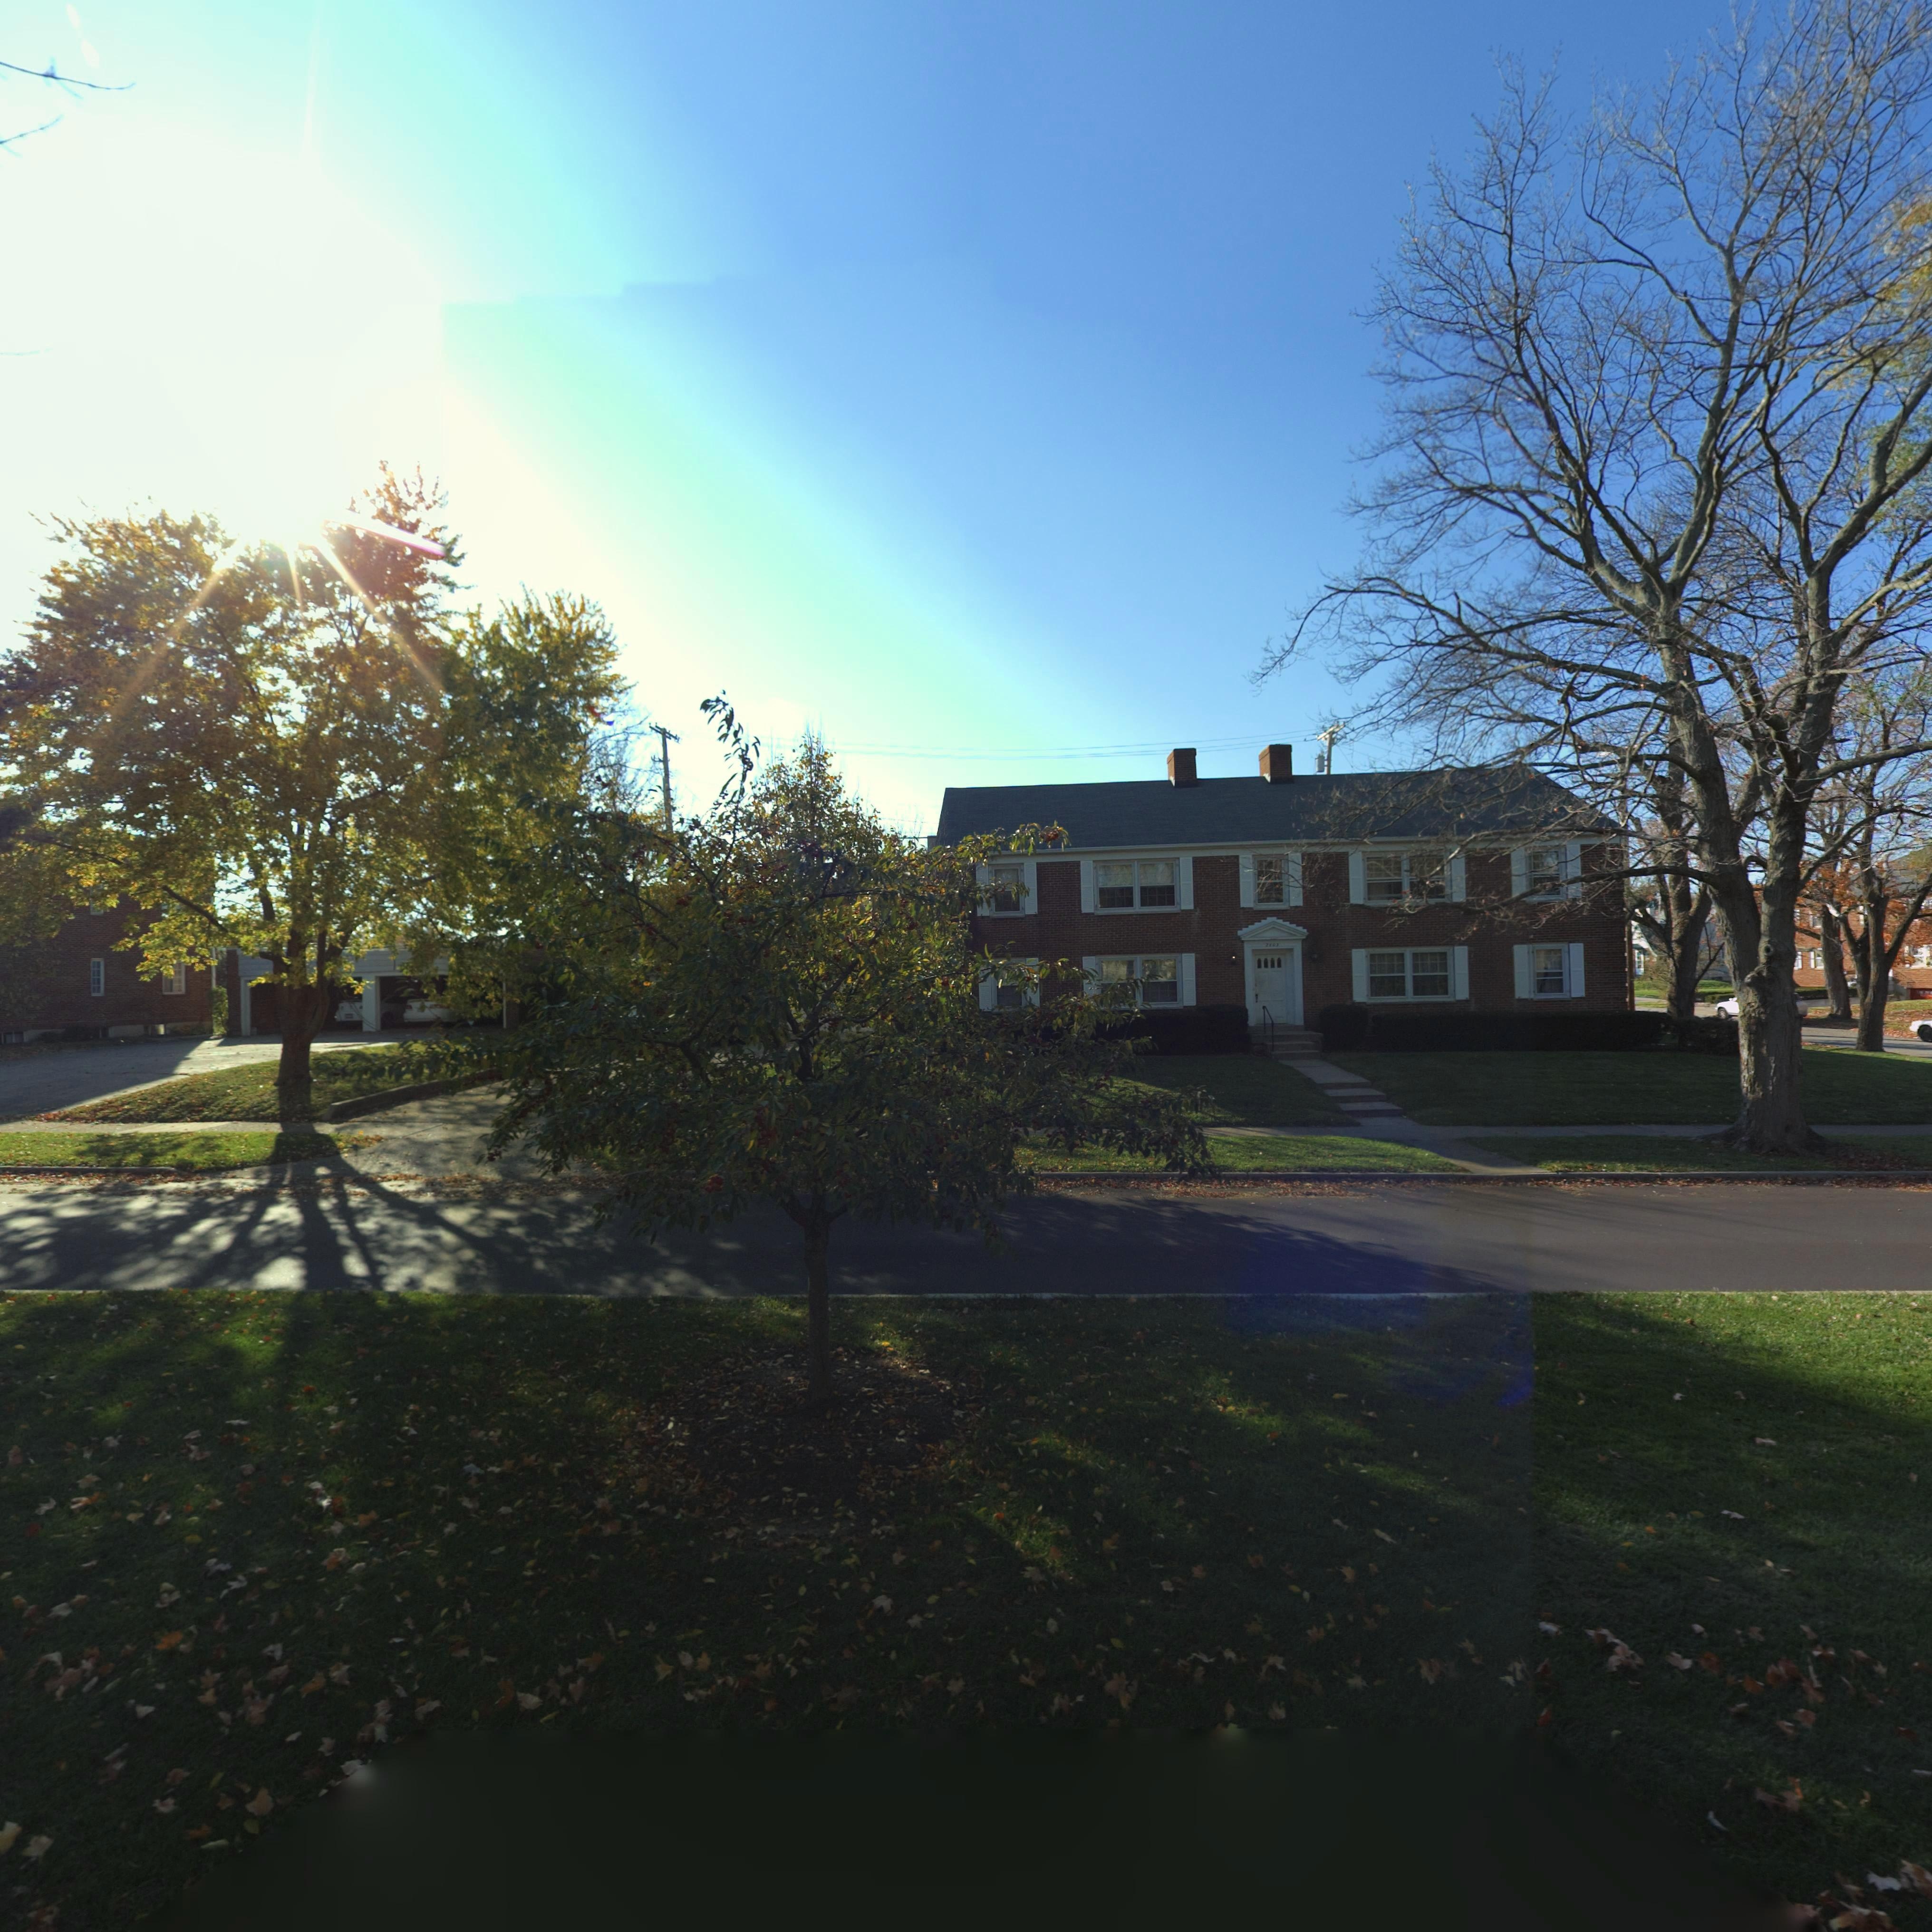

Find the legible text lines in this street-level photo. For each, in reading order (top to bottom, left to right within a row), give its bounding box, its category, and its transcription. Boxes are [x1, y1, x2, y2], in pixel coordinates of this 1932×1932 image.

[1265, 942, 1280, 947] StreetNumber: 2*63